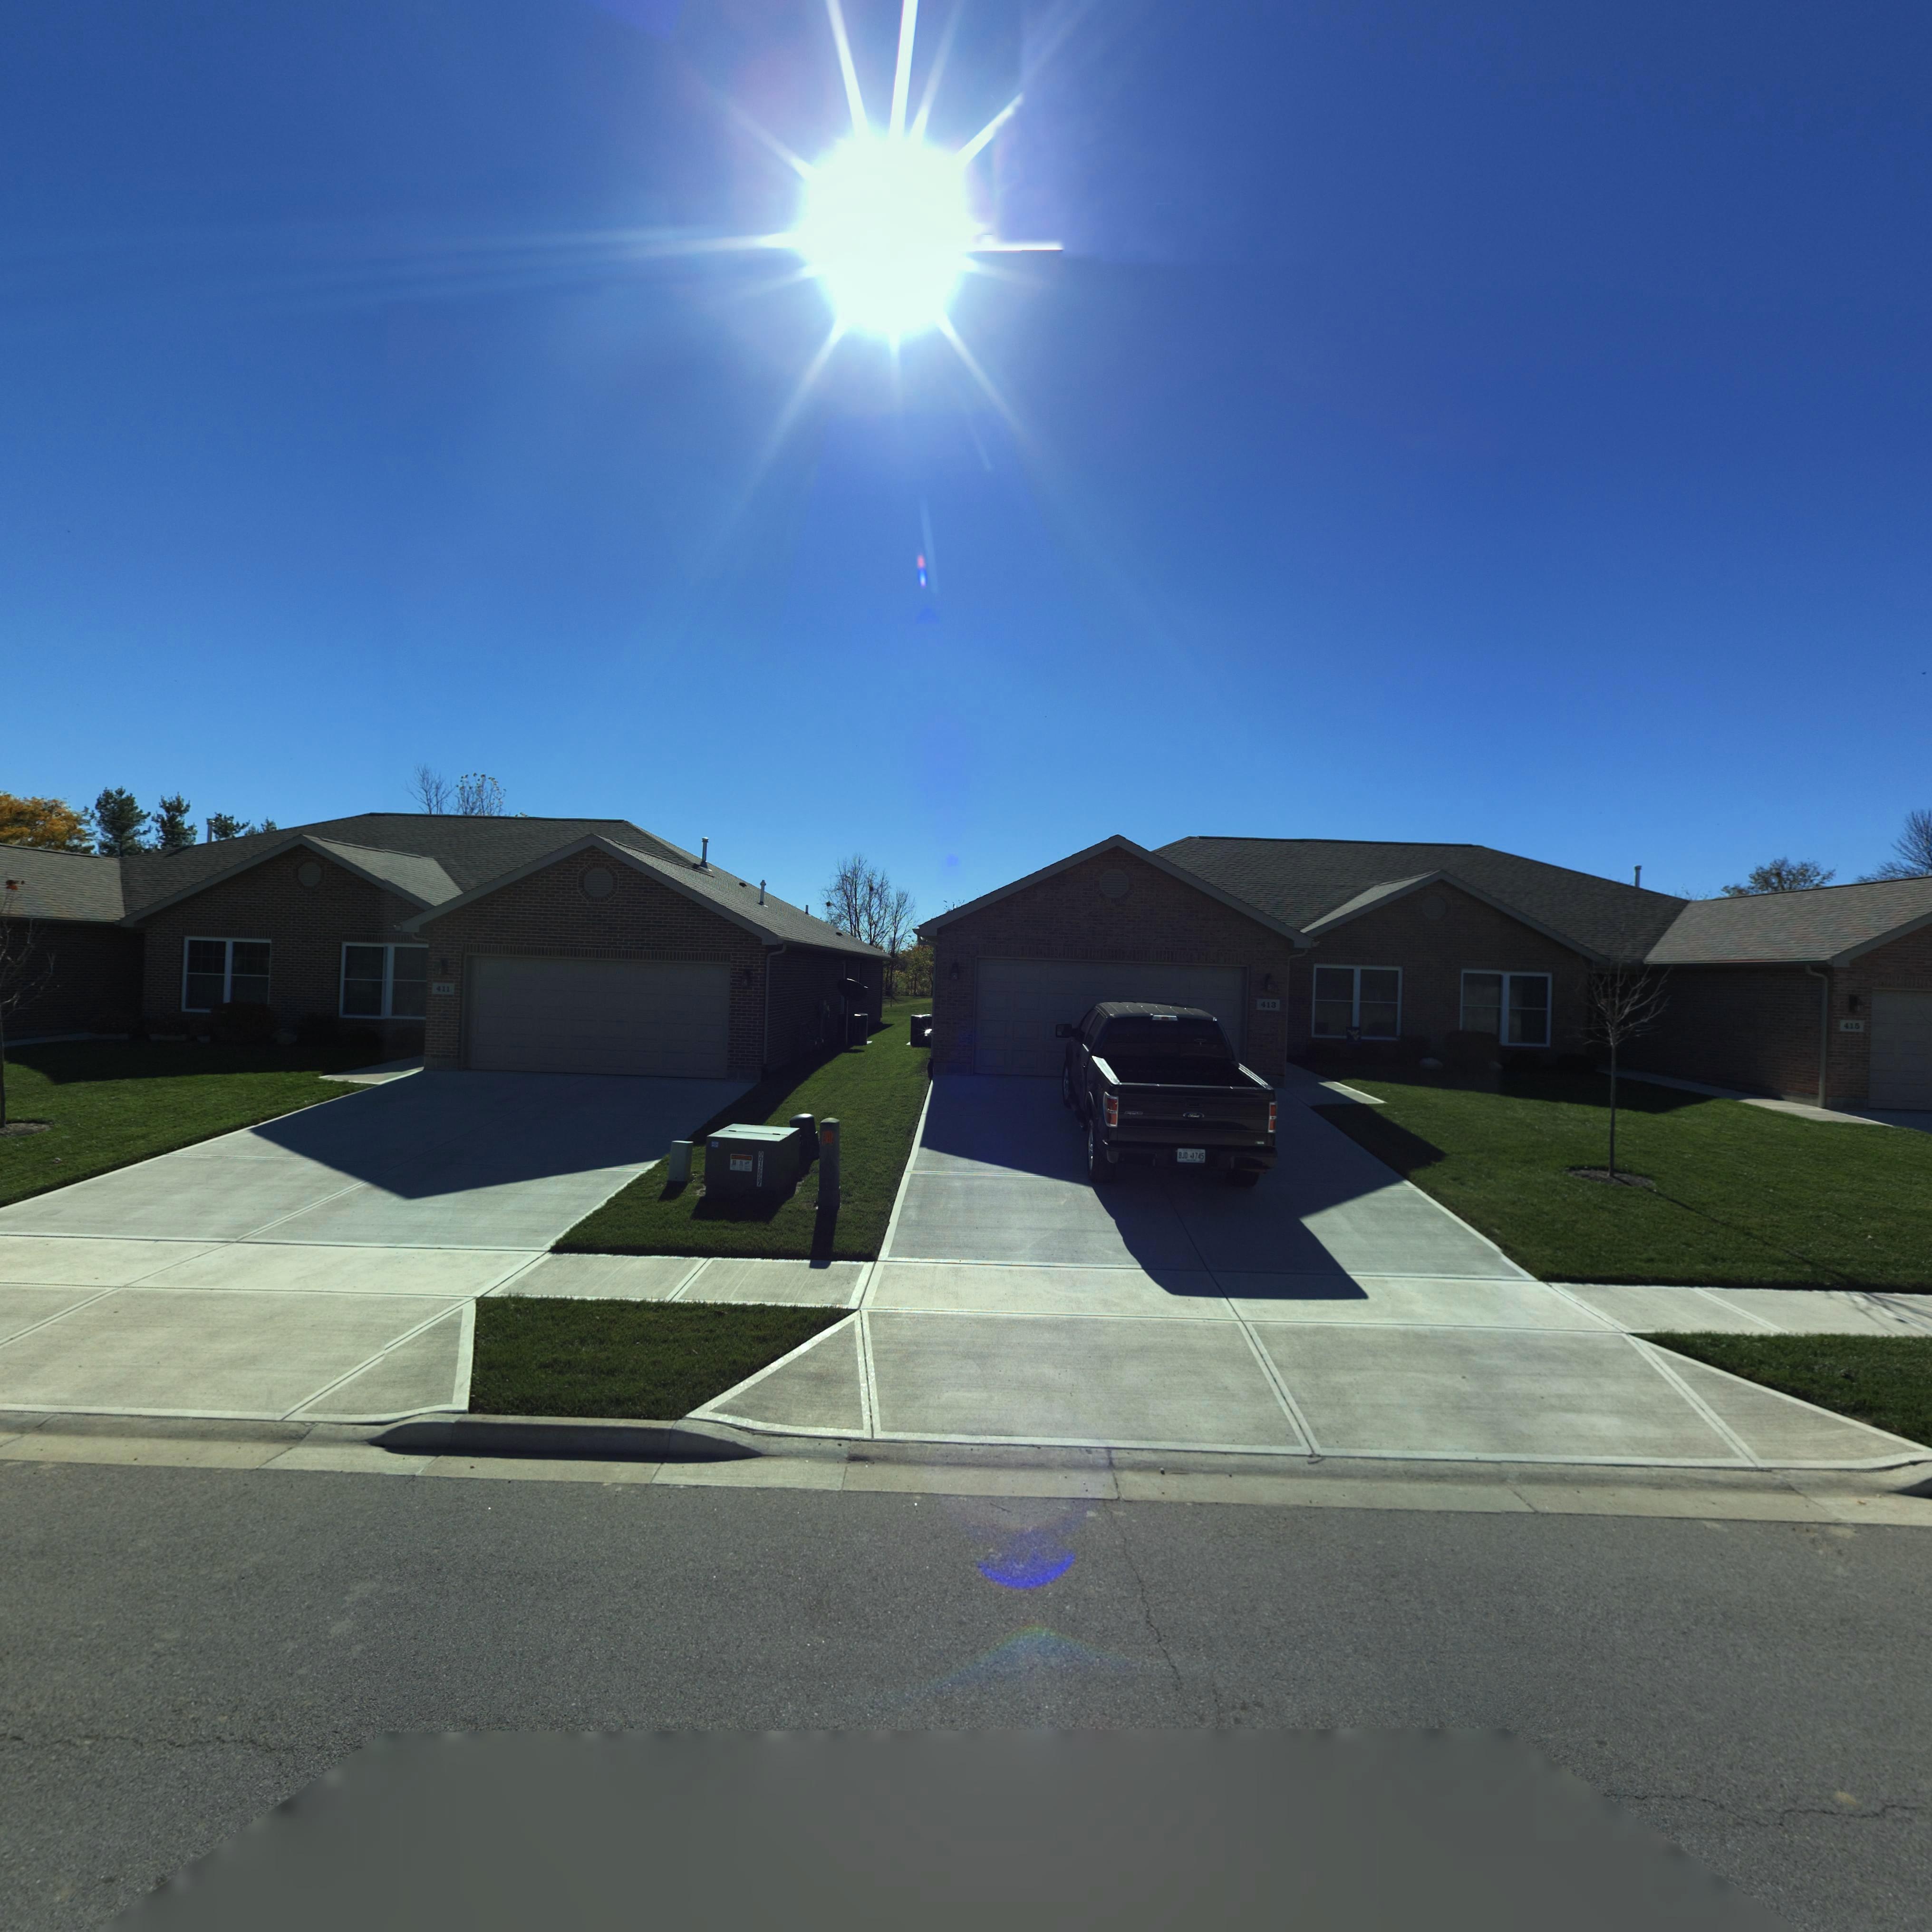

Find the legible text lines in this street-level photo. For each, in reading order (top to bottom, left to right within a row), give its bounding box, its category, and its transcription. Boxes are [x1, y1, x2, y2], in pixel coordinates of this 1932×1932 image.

[435, 985, 450, 993] StreetNumber: 411
[1260, 1001, 1277, 1009] StreetNumber: 413
[1843, 1022, 1861, 1030] StreetNumber: 415